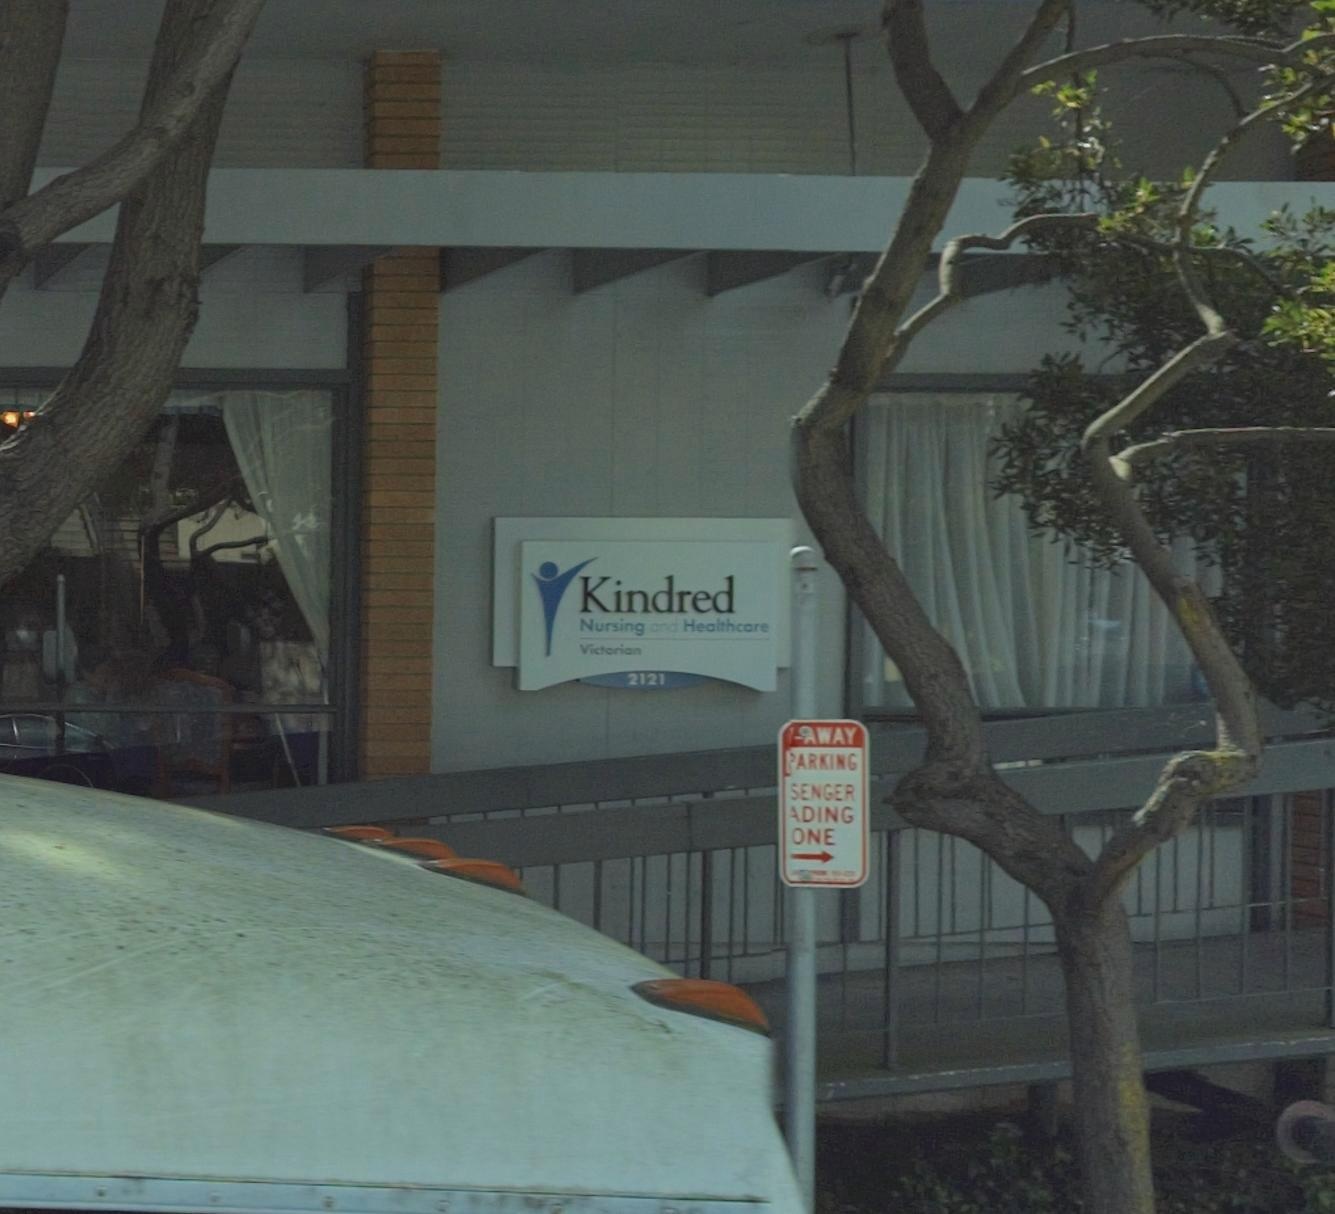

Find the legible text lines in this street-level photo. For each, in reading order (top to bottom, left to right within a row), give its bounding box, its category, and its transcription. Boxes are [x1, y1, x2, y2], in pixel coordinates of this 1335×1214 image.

[579, 570, 739, 617] BusinessName: Kindred
[575, 614, 771, 639] None: Nursing and Healthcare
[575, 640, 646, 658] None: Victorian
[624, 669, 669, 691] StreetNumber: 2121
[799, 722, 859, 748] None: AWAY
[793, 750, 862, 775] None: ARKING
[785, 780, 860, 808] None: SENGER
[800, 801, 859, 827] None: DING
[787, 824, 838, 852] None: ONE